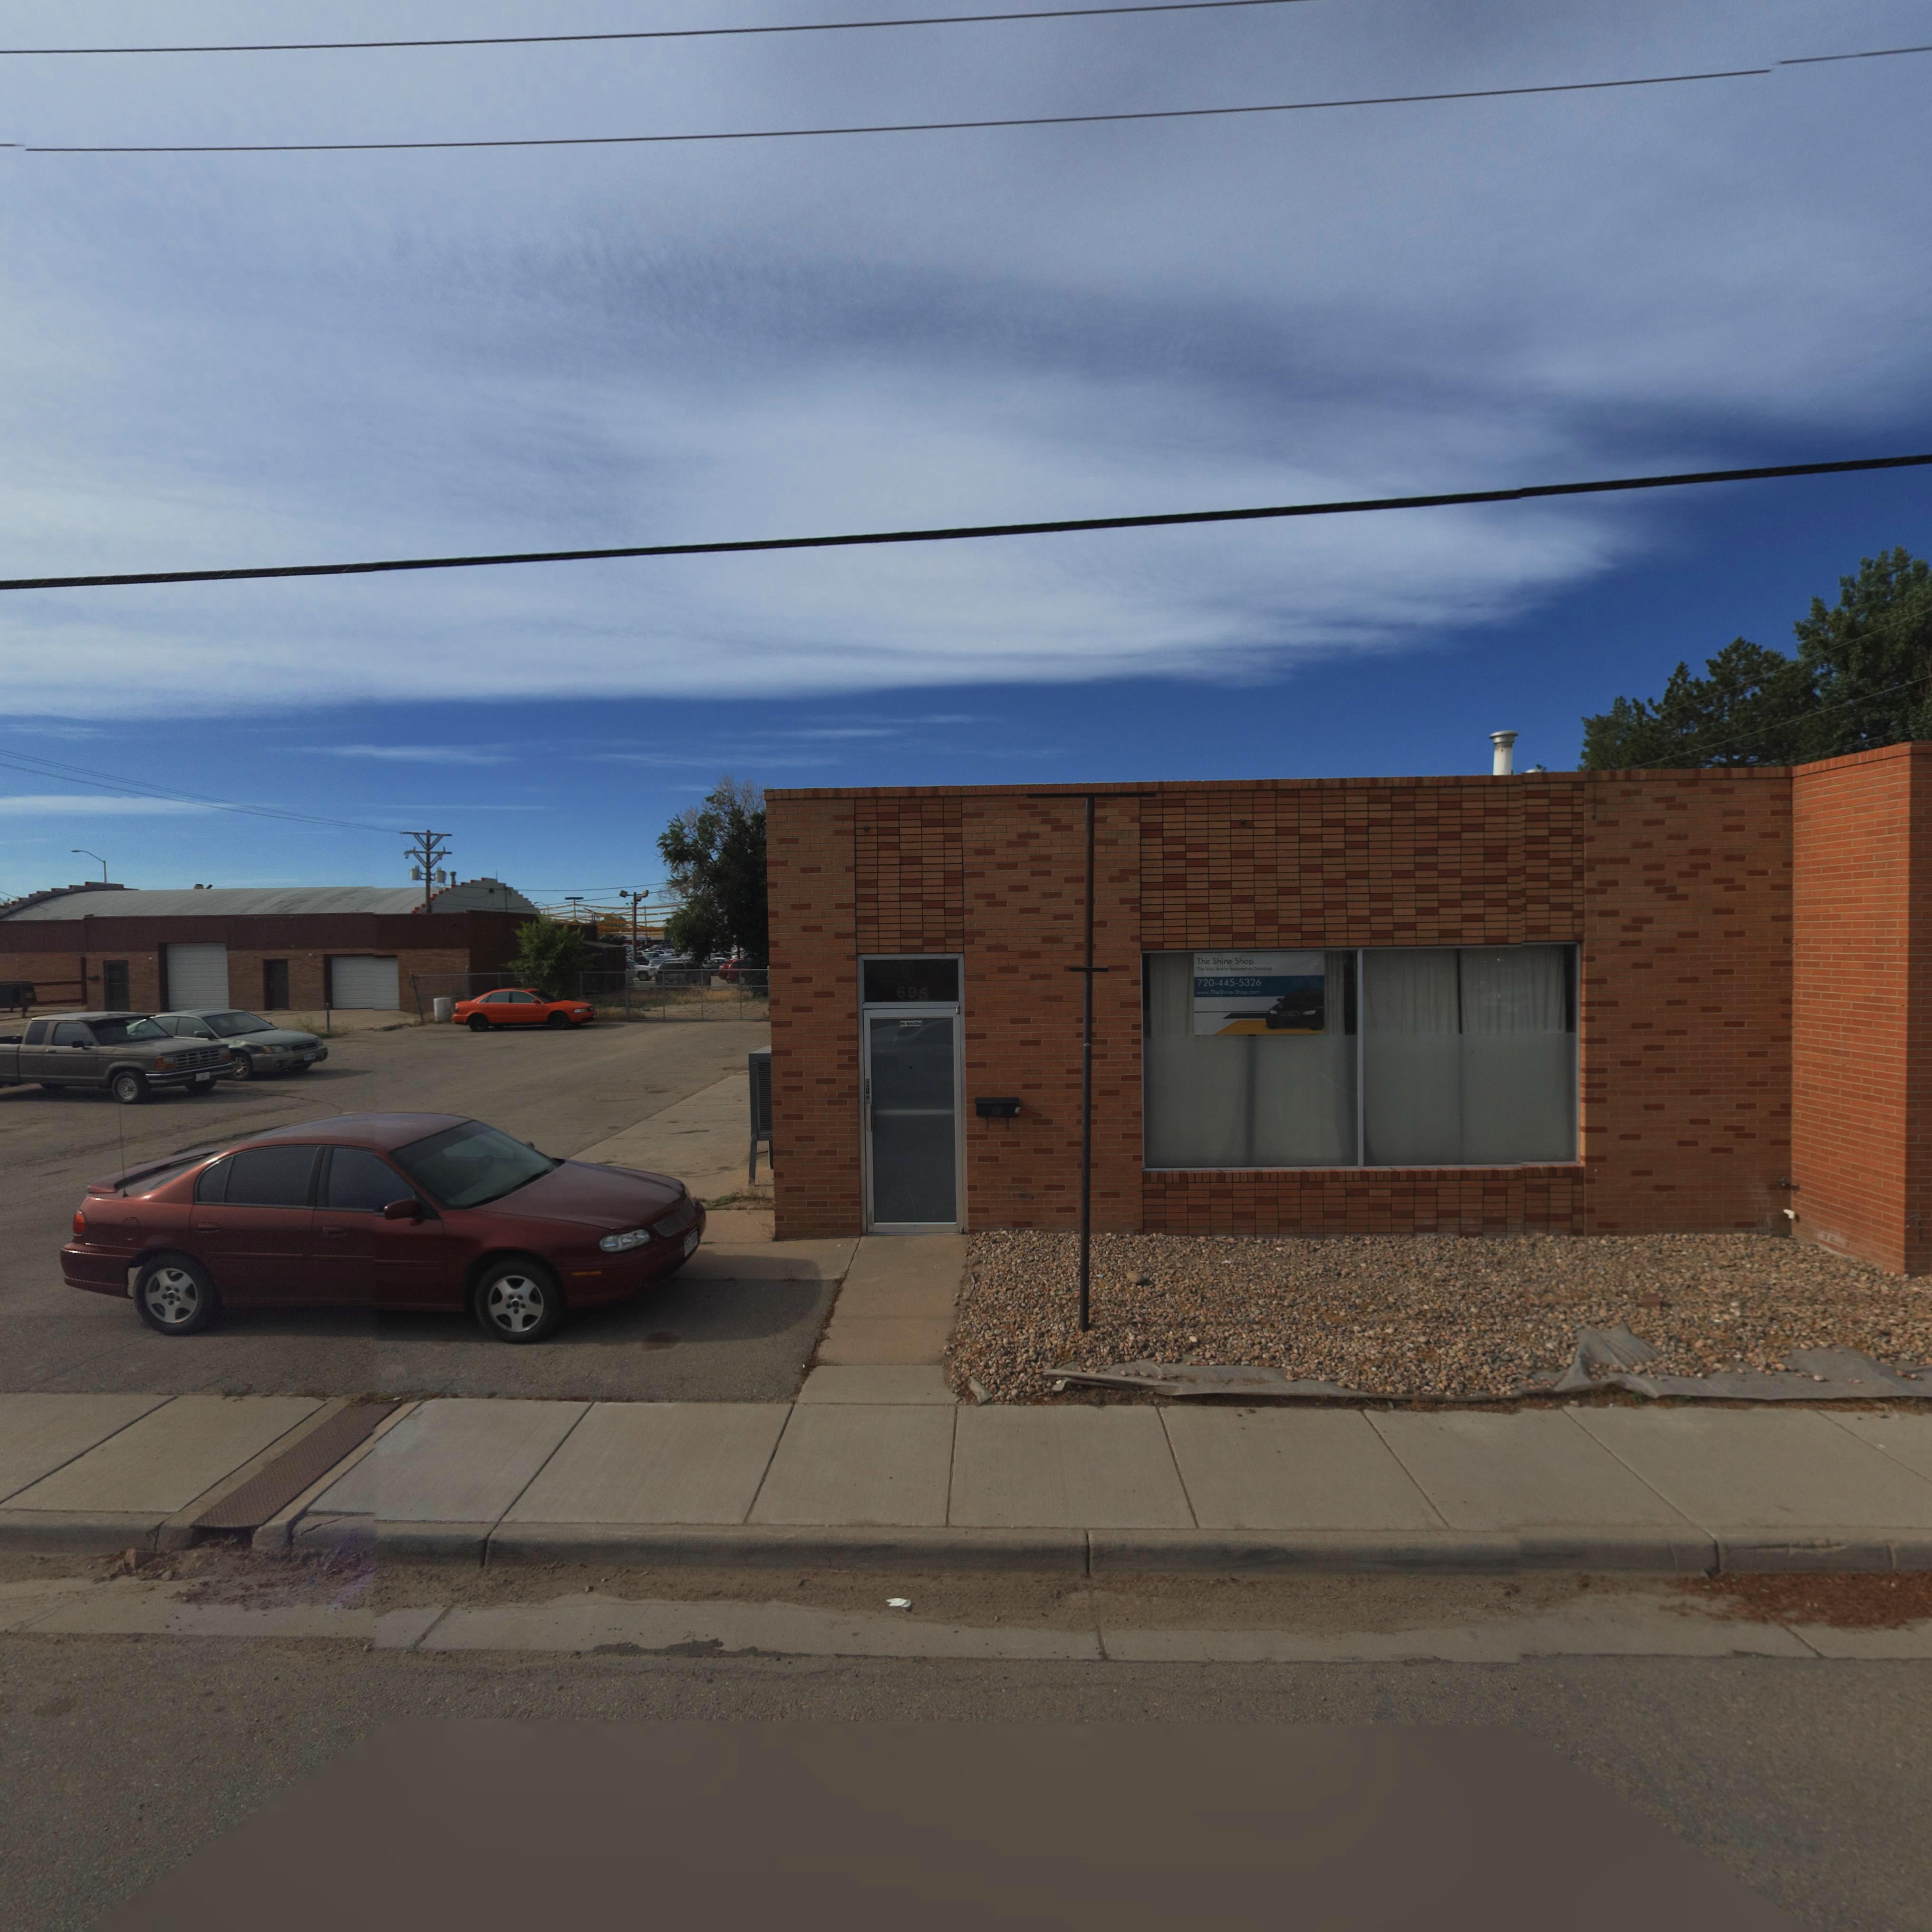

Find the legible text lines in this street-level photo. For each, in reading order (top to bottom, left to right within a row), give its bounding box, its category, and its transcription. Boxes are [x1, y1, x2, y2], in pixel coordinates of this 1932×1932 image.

[1196, 957, 1254, 966] BusinessName: The Shine Shop
[895, 986, 928, 1000] StreetNumber: 695